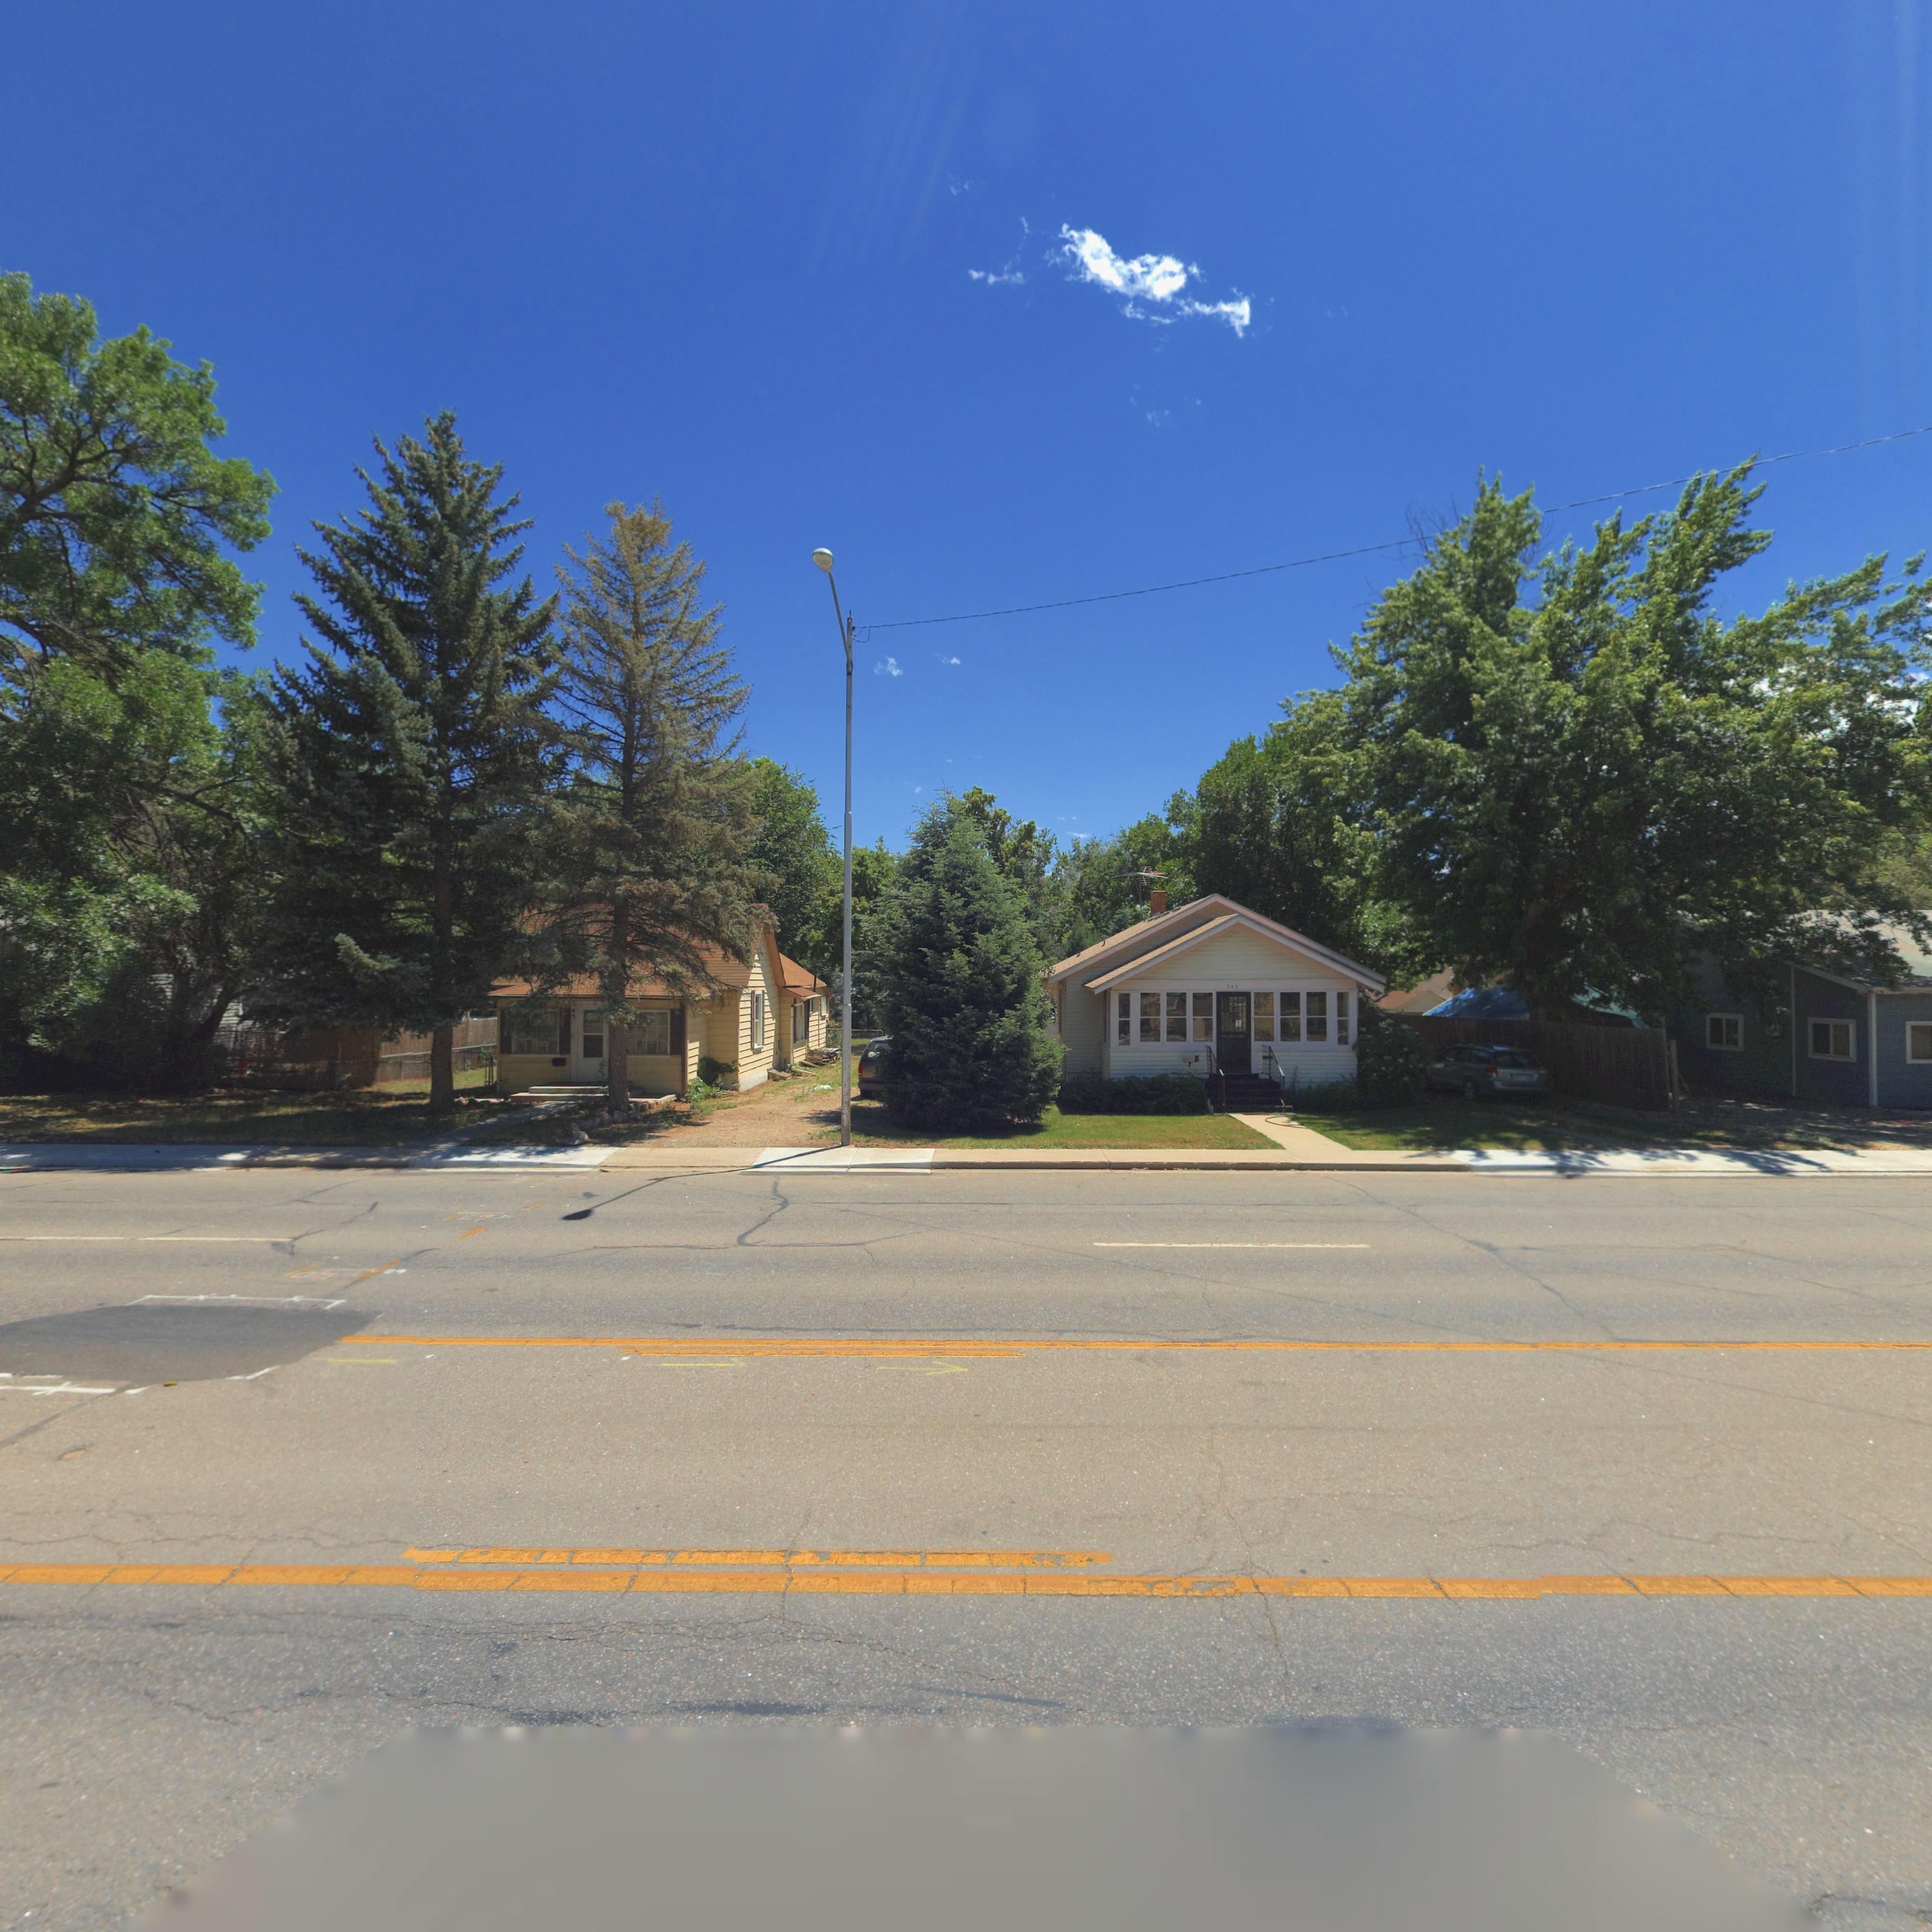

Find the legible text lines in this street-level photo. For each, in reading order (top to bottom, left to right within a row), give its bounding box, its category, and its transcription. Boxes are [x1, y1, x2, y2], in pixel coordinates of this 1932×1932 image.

[1227, 984, 1238, 989] StreetNumber: 745
[570, 1000, 576, 1021] StreetNumber: 743